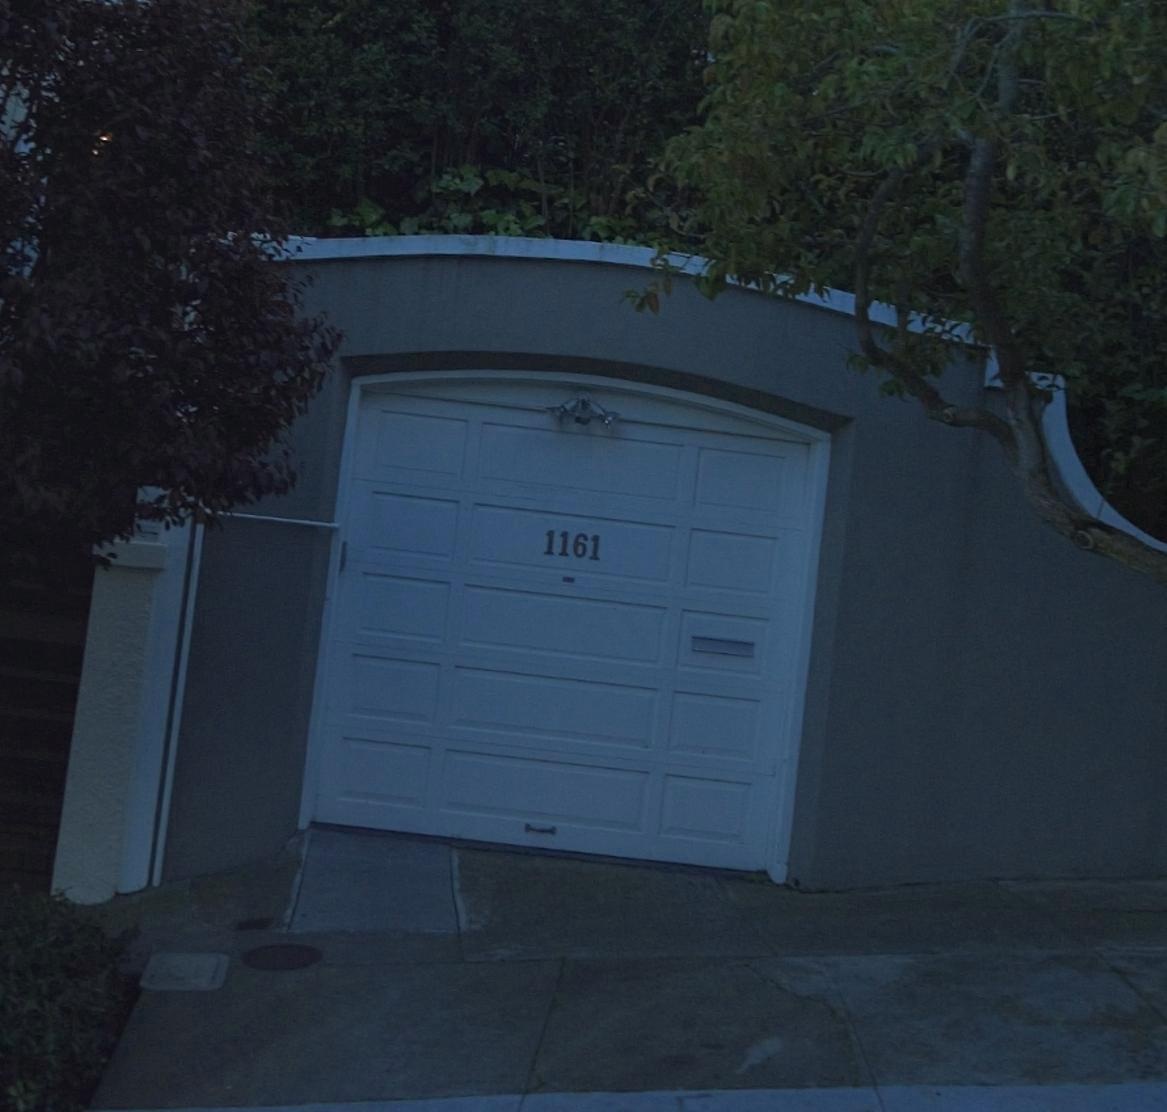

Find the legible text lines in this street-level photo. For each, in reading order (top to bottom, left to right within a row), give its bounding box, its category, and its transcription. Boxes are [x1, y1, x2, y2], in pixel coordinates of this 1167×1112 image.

[540, 526, 603, 563] StreetNumber: 1161